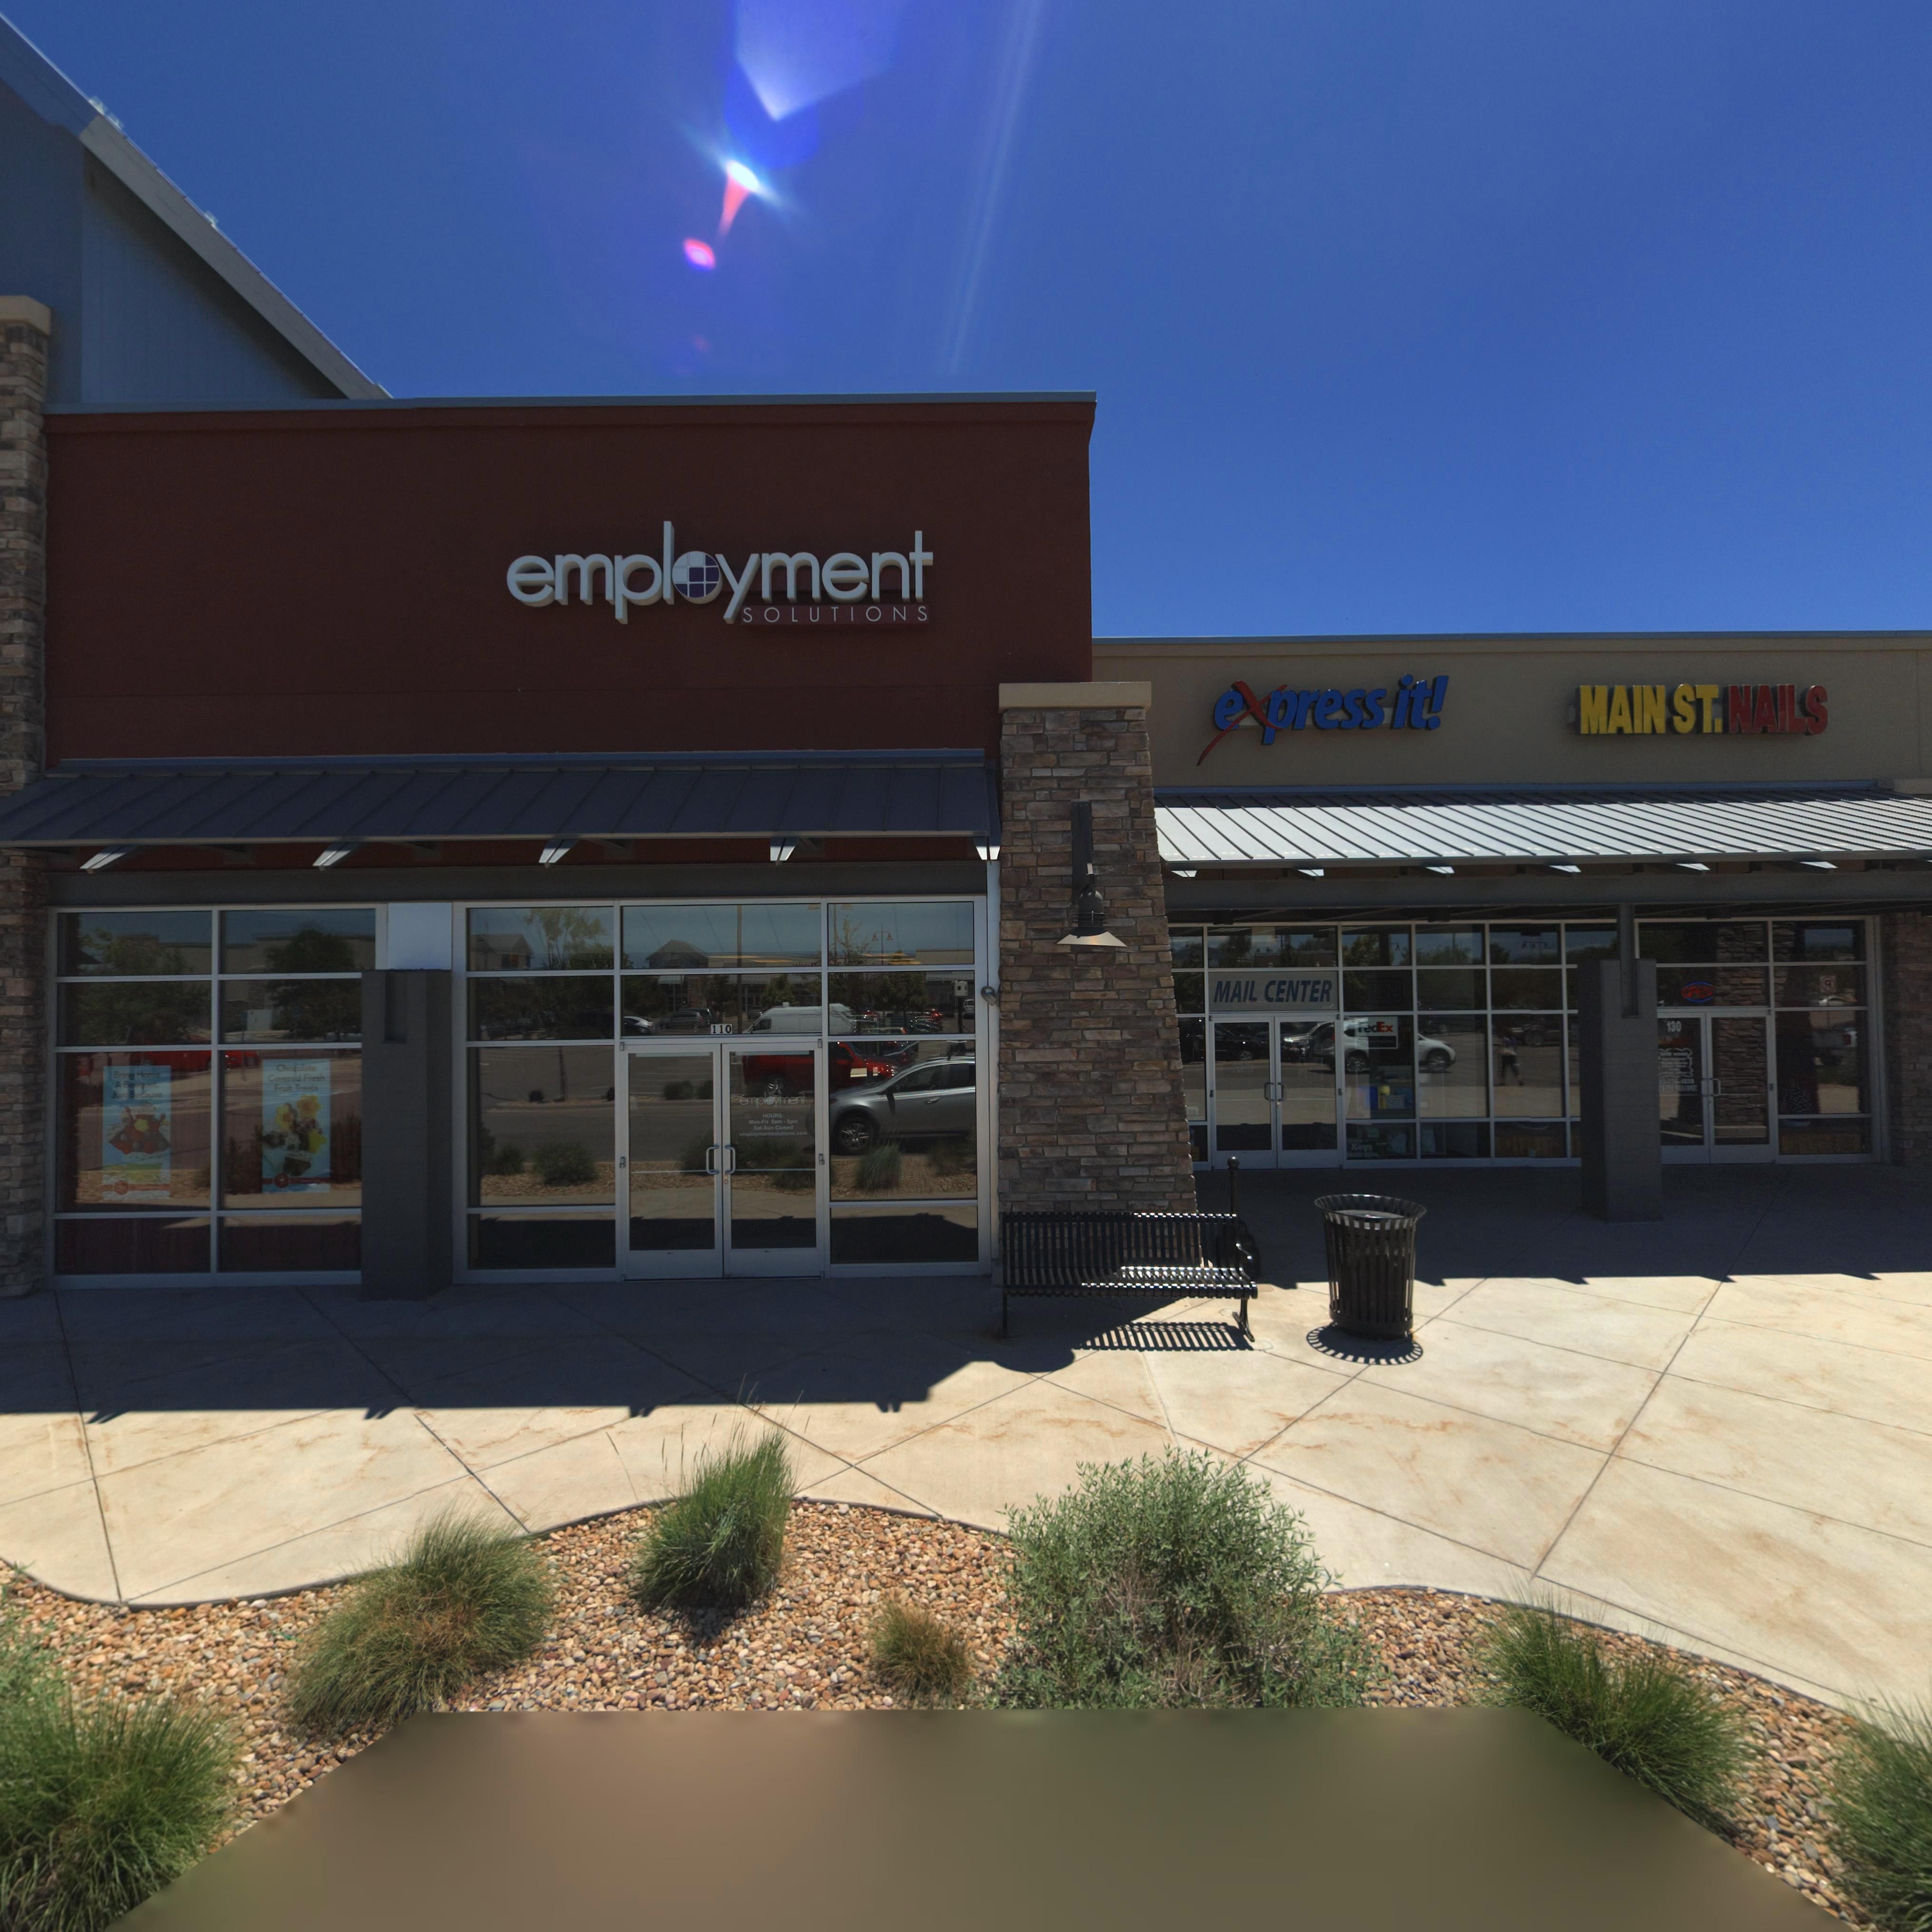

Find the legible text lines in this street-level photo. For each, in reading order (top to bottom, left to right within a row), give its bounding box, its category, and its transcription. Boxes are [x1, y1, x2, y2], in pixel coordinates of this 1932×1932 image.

[505, 520, 934, 625] BusinessName: employment
[742, 605, 927, 623] BusinessName: SOLUTIONS
[1574, 682, 1829, 735] BusinessName: MAIN ST. NAILS
[1195, 673, 1449, 766] BusinessName: express it!
[712, 1024, 732, 1034] SecondaryUnitDesignator: 110
[1665, 1020, 1682, 1032] SecondaryUnitDesignator: 130
[739, 1091, 806, 1108] BusinessName: employment
[776, 1104, 805, 1108] BusinessName: SOLUTIONS